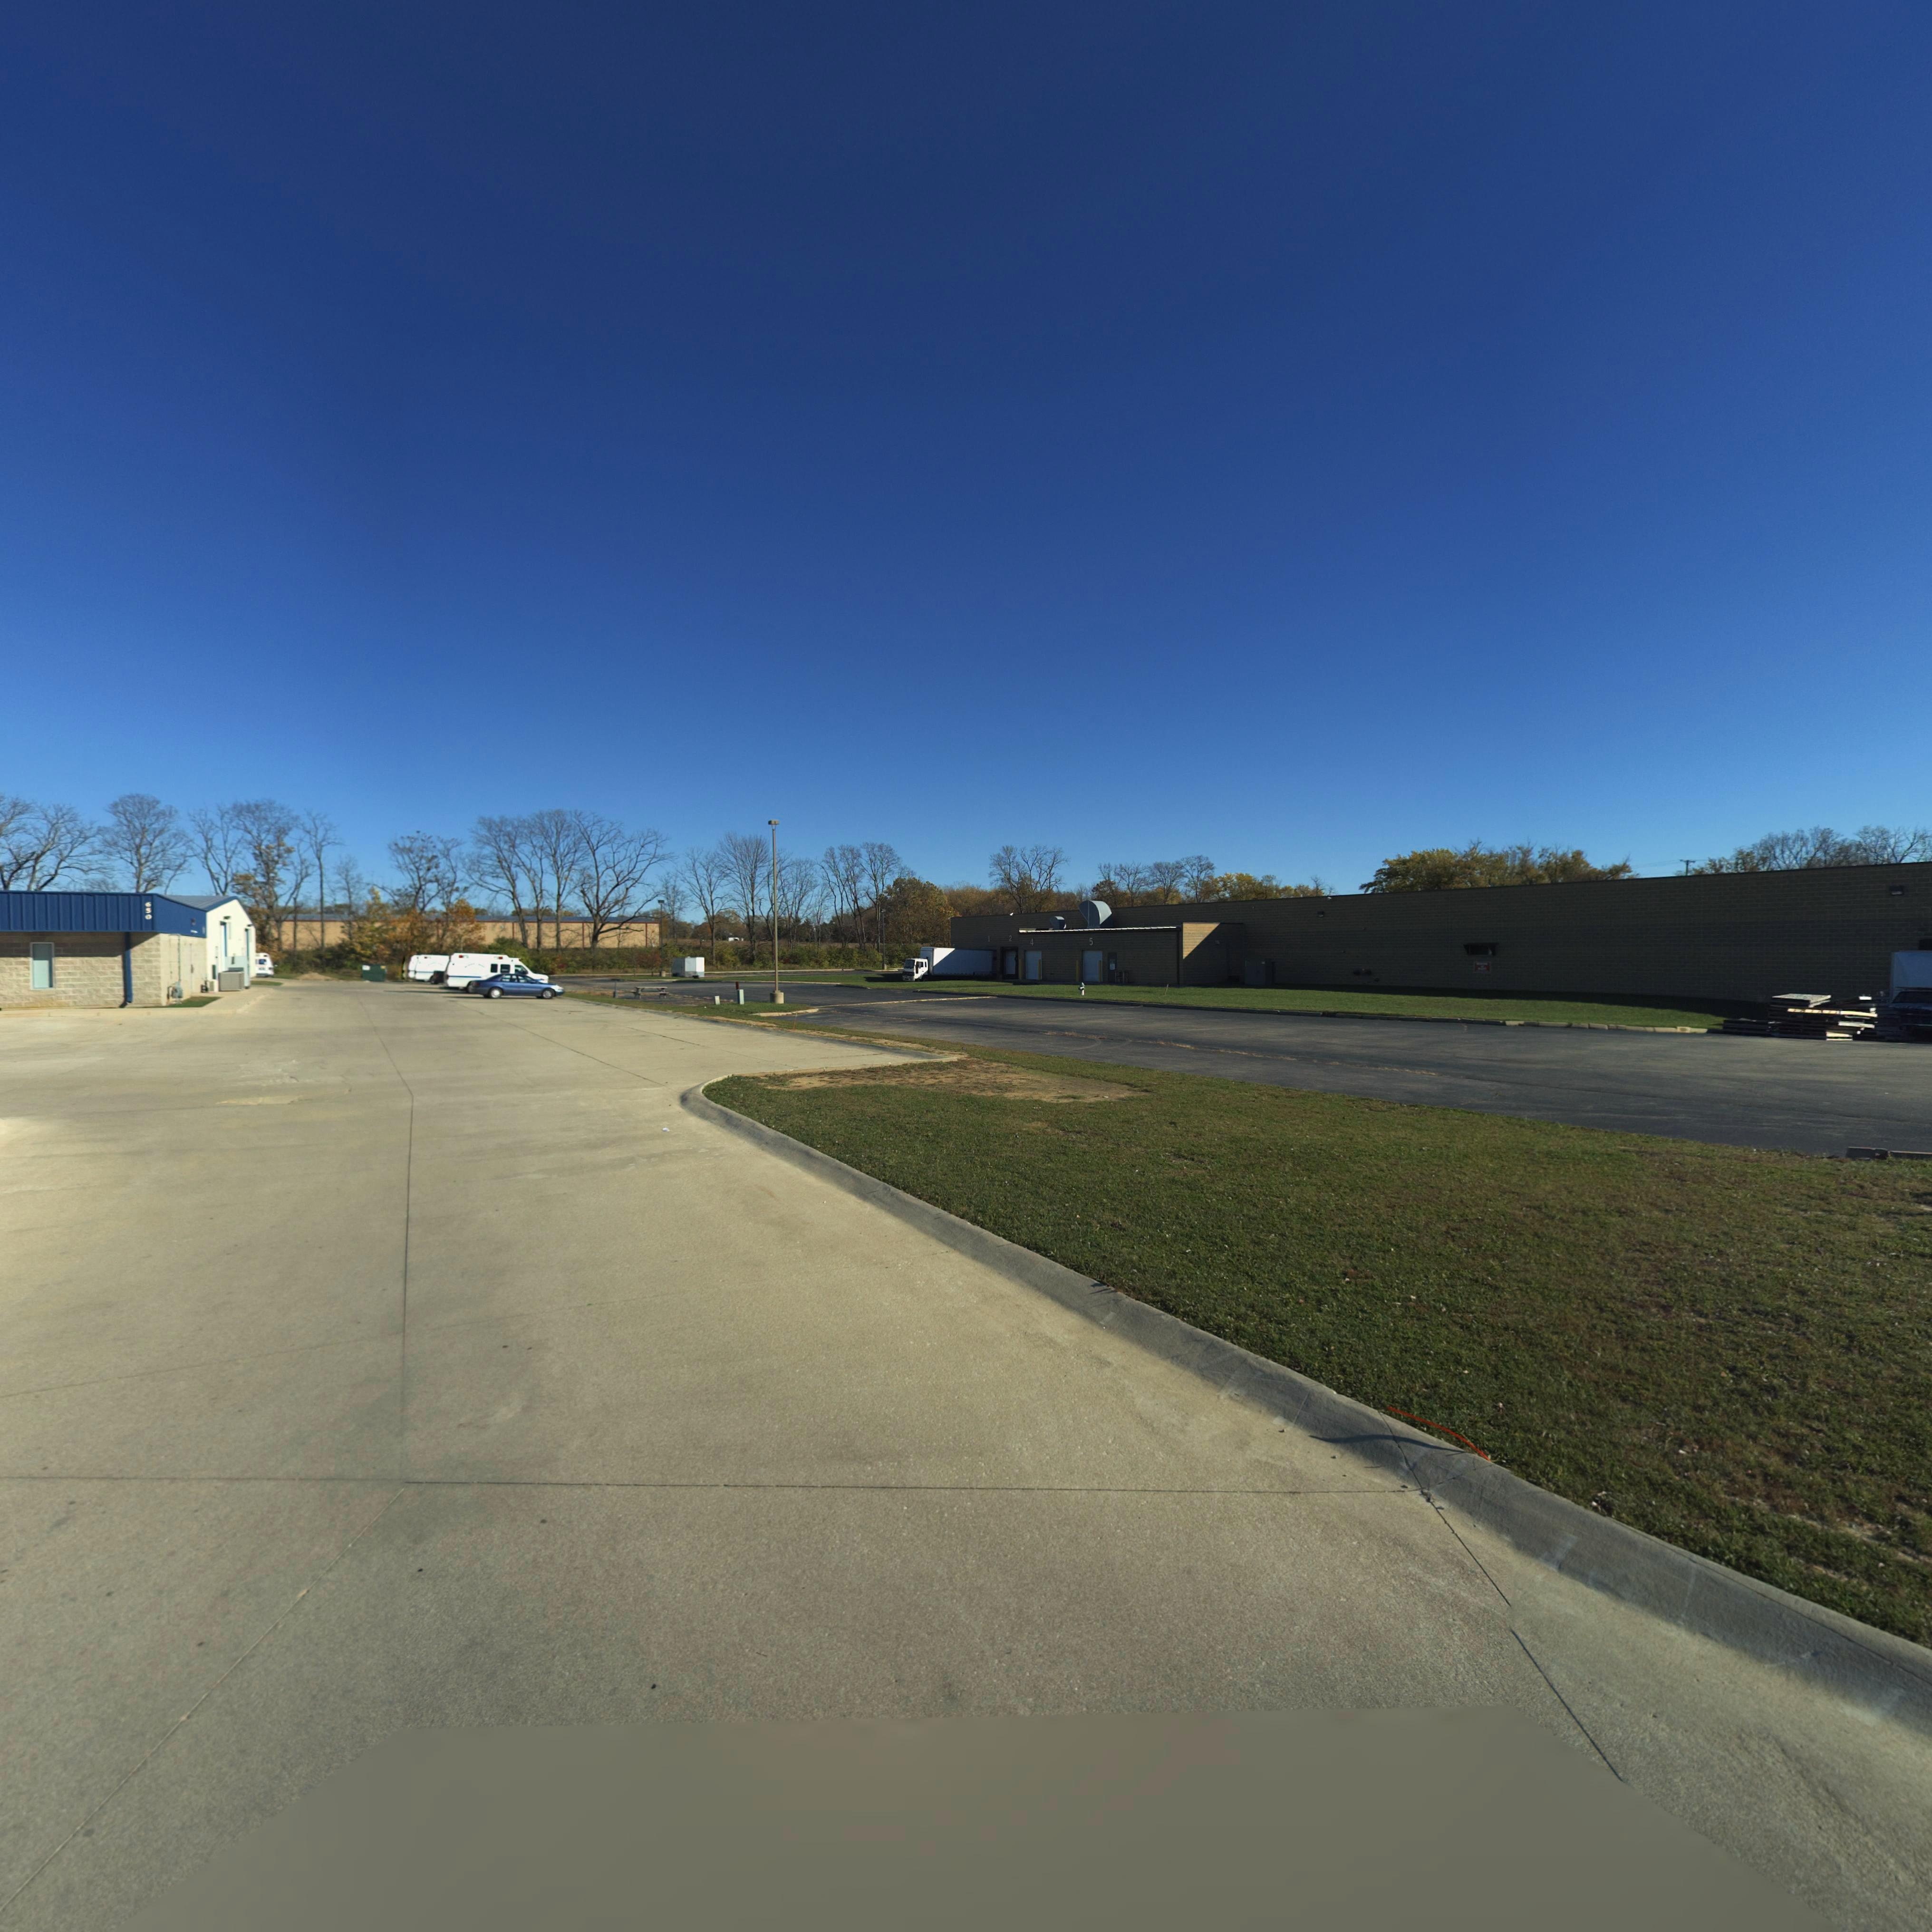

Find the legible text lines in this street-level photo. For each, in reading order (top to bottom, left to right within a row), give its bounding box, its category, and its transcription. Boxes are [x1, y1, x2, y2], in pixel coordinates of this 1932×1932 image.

[145, 901, 153, 920] StreetNumber: 650